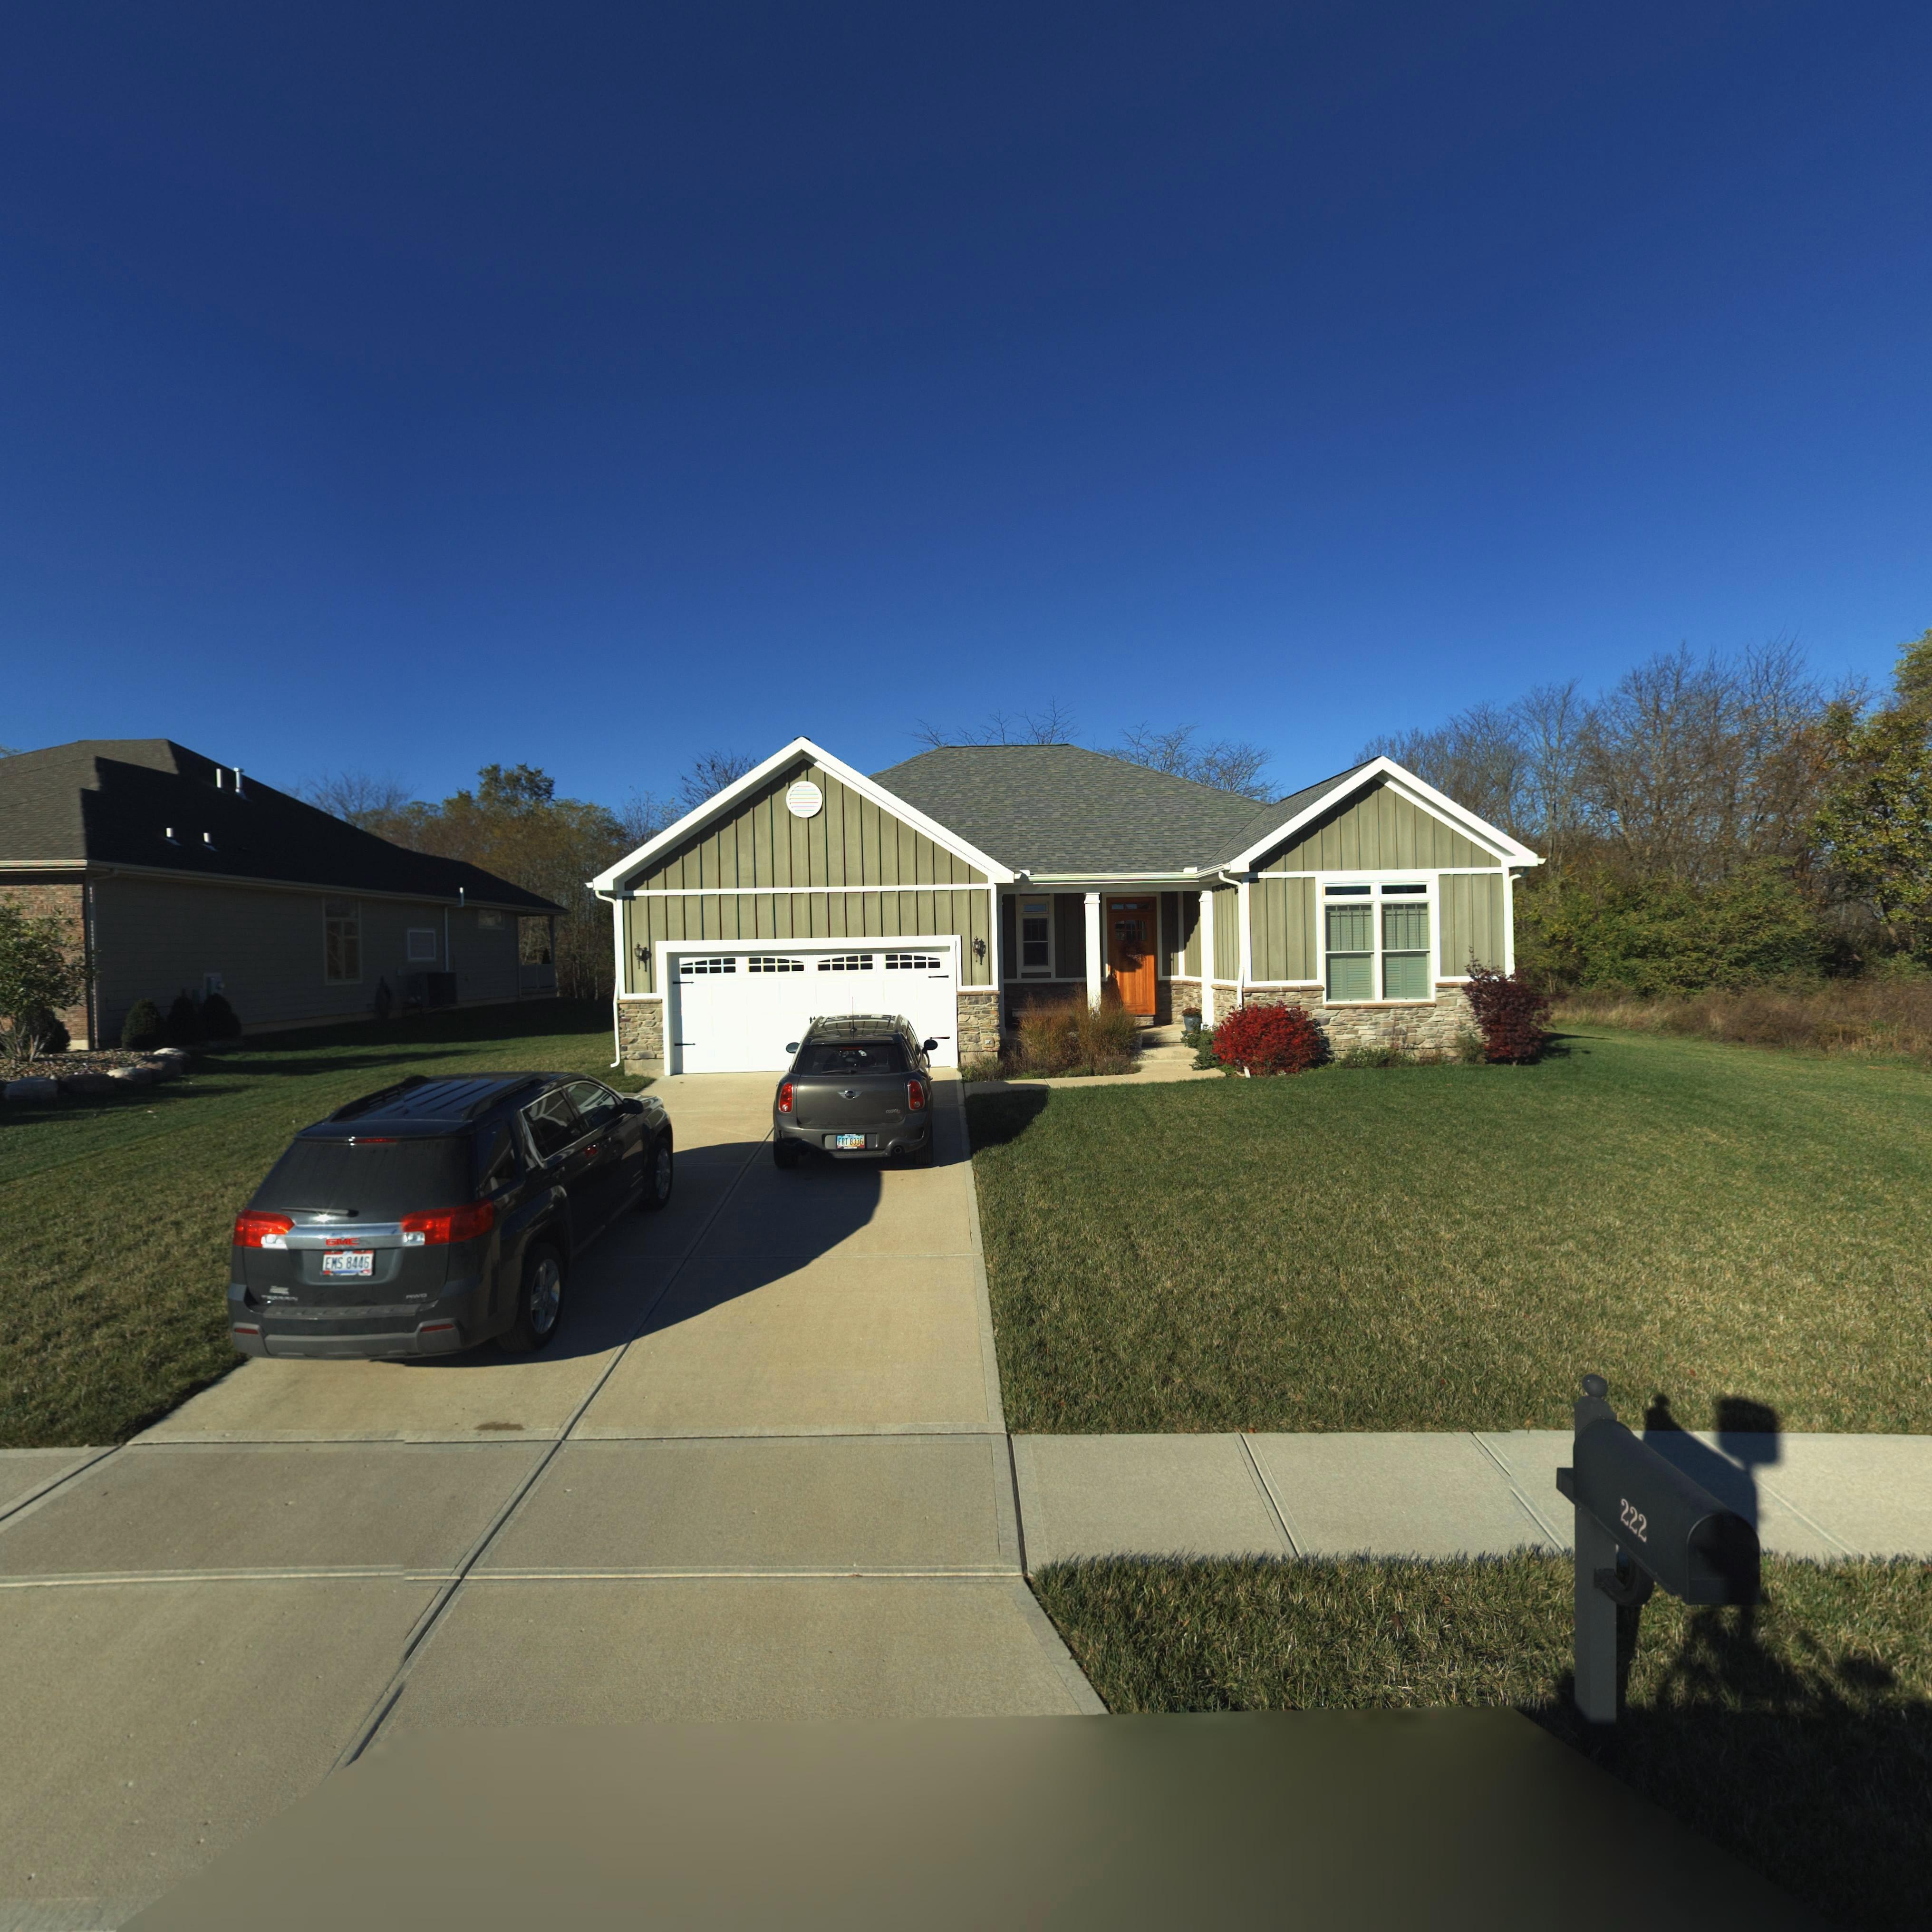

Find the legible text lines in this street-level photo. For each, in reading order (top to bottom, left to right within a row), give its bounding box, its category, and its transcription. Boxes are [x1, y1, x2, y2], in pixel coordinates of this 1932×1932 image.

[838, 1136, 863, 1146] None: FRT 8336
[323, 1235, 360, 1248] None: GMC
[323, 1255, 369, 1271] None: EMS 8446
[1619, 1497, 1649, 1543] StreetNumber: 222